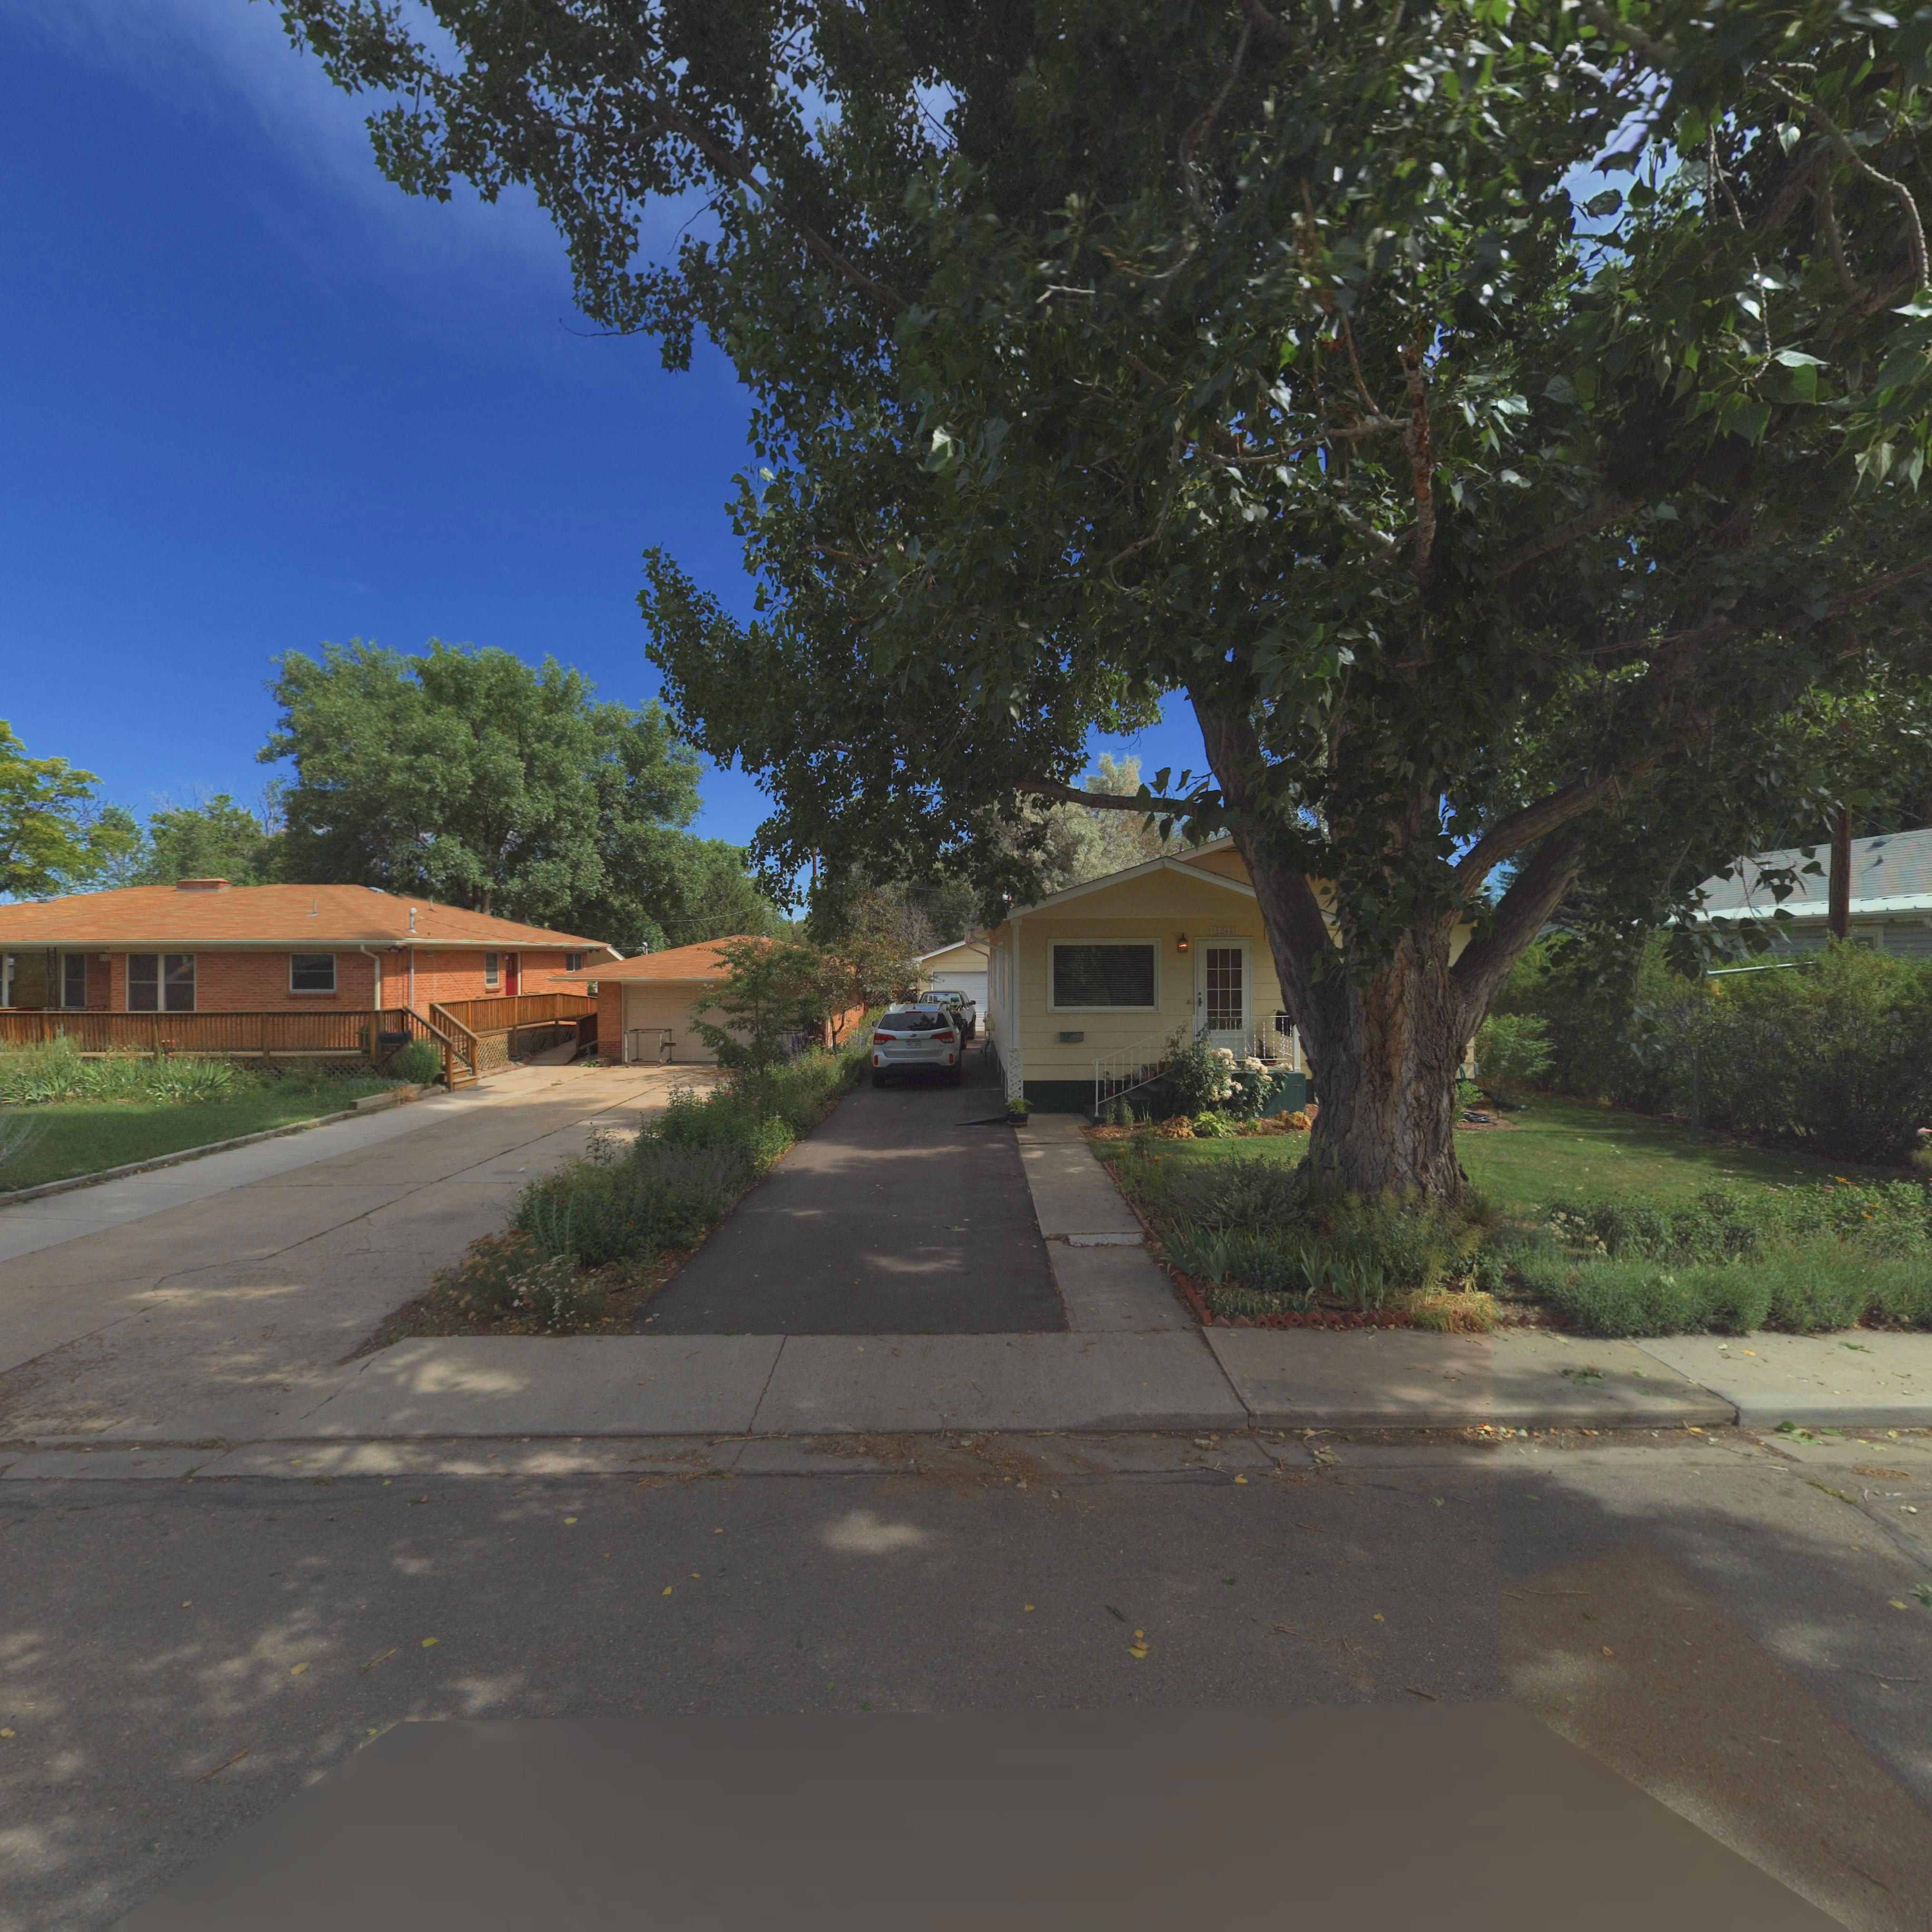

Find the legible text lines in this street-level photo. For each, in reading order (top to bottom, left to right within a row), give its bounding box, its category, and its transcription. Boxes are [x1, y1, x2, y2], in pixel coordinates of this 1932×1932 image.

[1215, 927, 1233, 934] StreetNumber: 1244